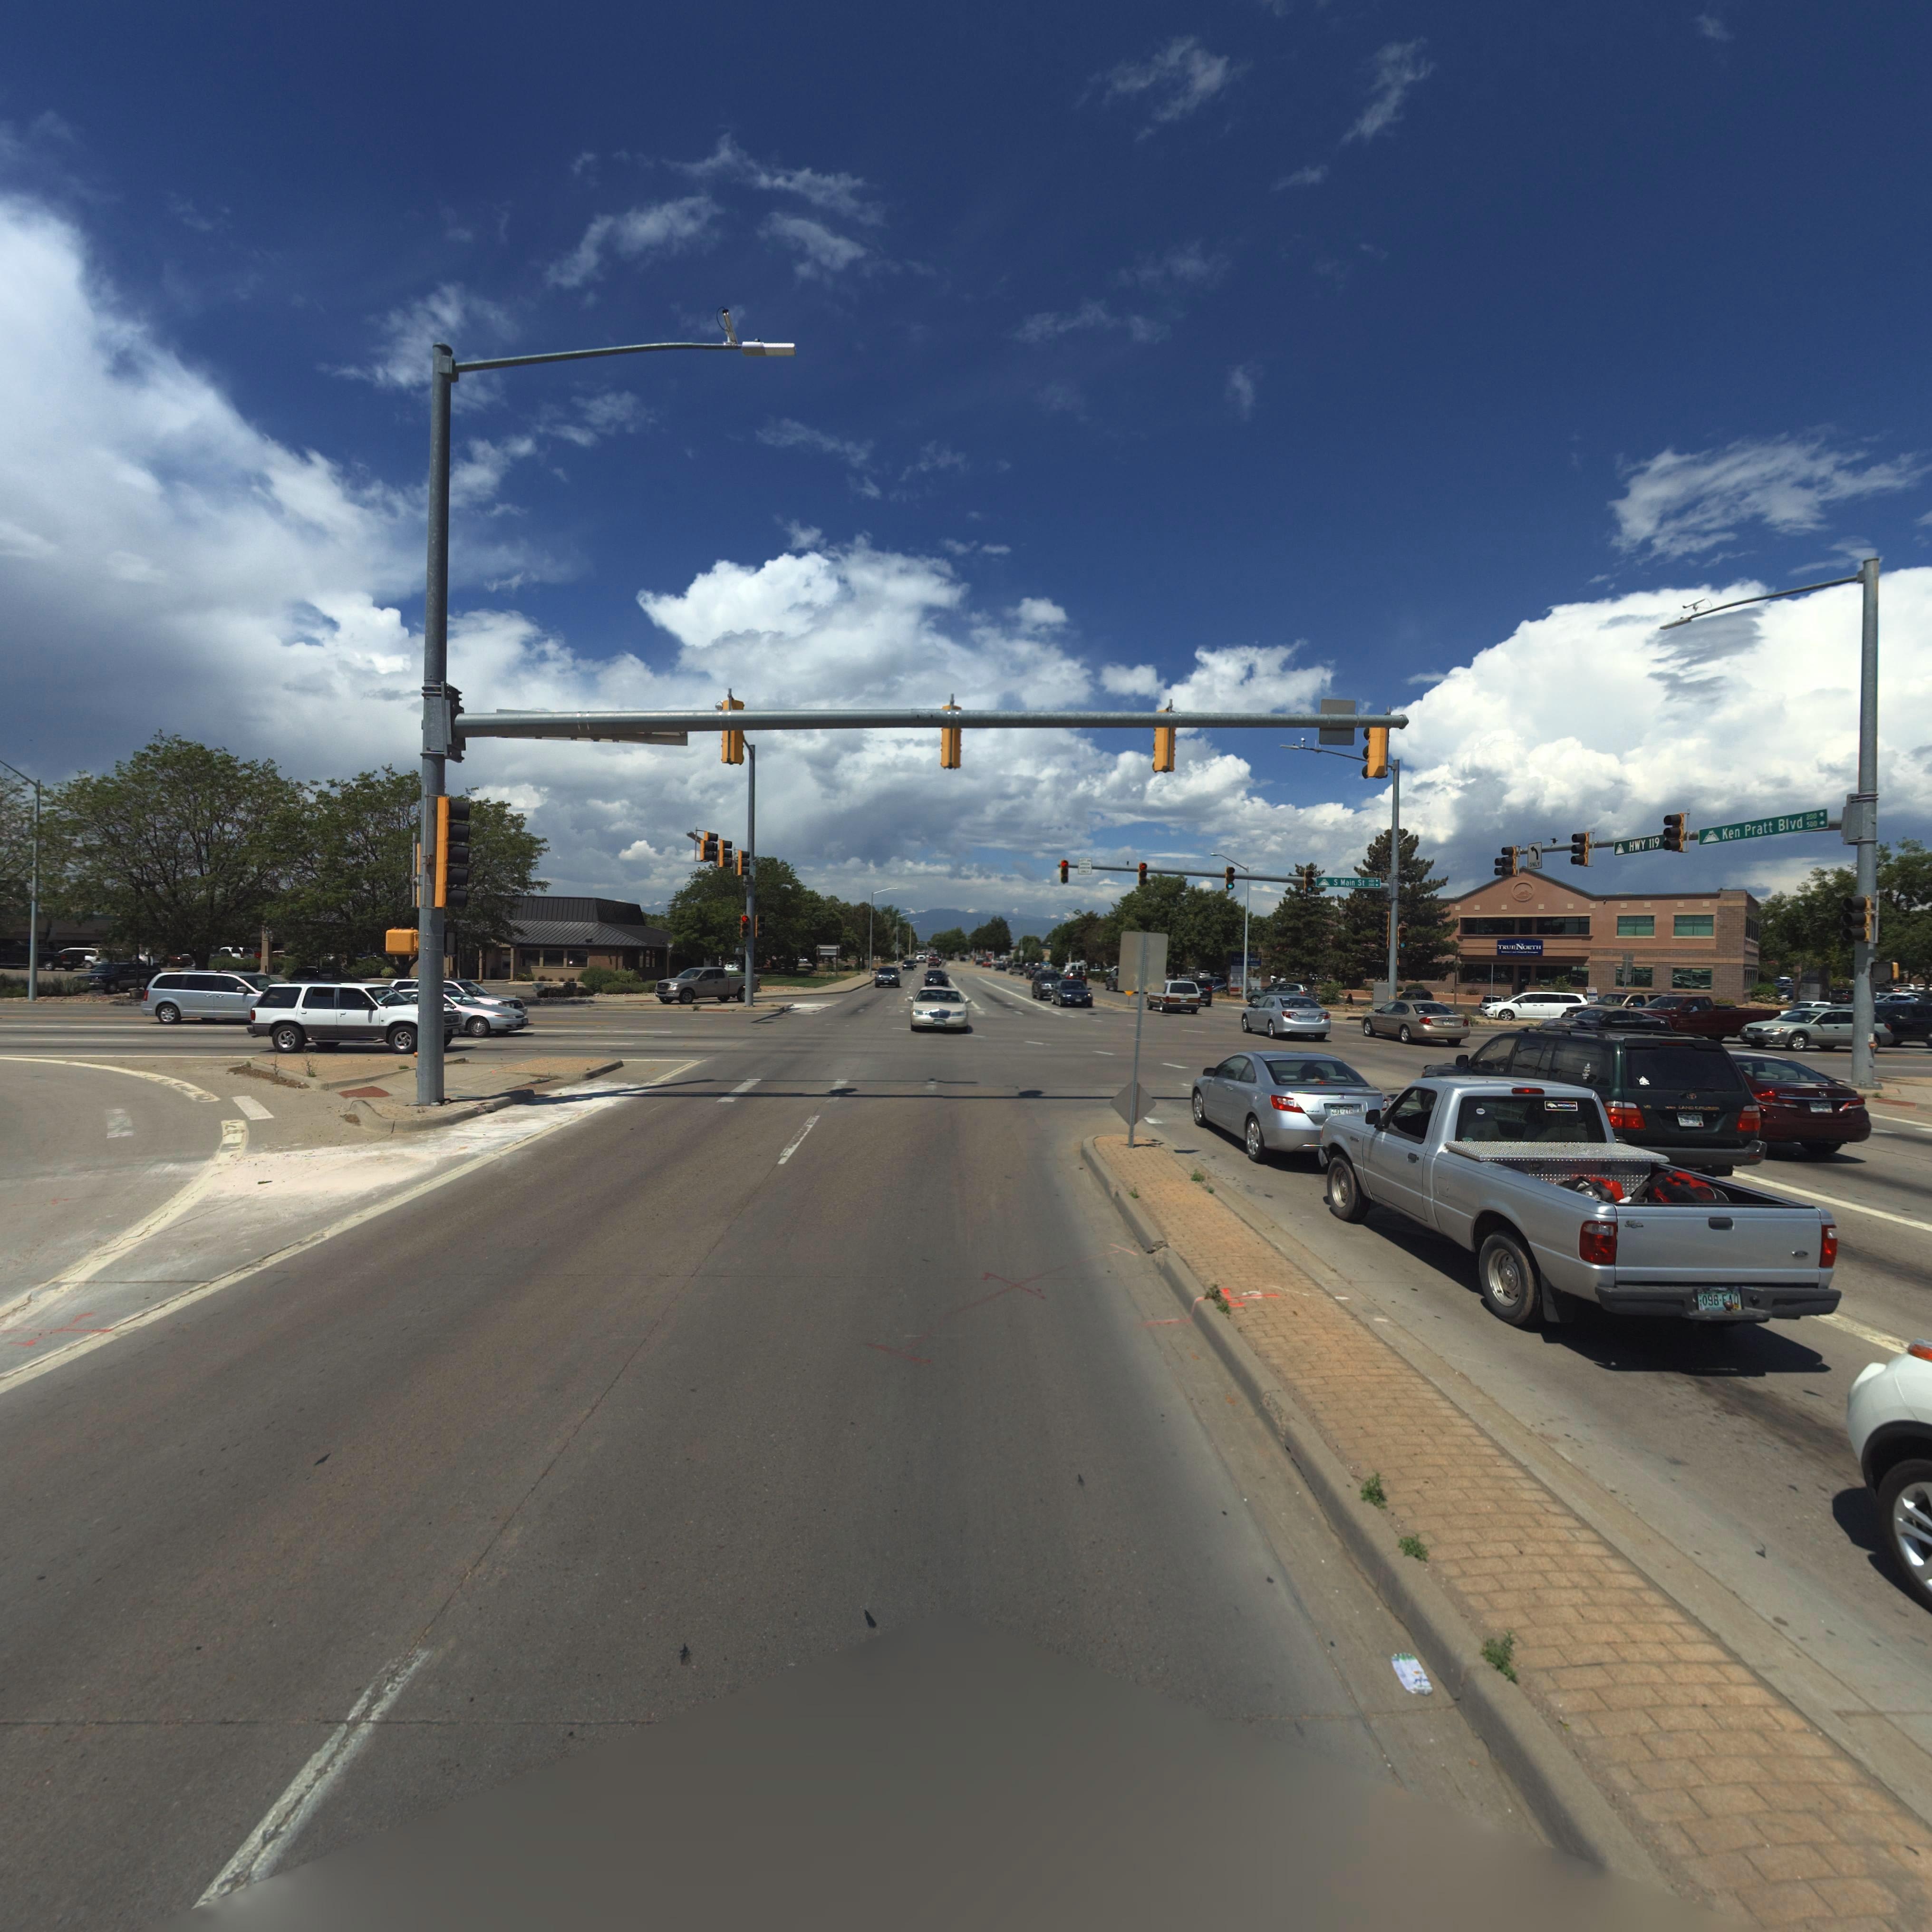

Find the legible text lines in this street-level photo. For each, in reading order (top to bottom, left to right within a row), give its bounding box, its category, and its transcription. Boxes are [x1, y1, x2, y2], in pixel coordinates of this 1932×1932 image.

[1806, 812, 1817, 820] StreetNumberRange: 200
[1806, 820, 1825, 827] StreetNumberRange: 500->
[1722, 816, 1802, 839] StreetName: Ken Pratt Blvd
[1629, 837, 1660, 851] StreetName: HWY 119
[1333, 879, 1365, 886] StreetName: S Main St
[1497, 943, 1541, 949] BusinessName: TRUENORTH